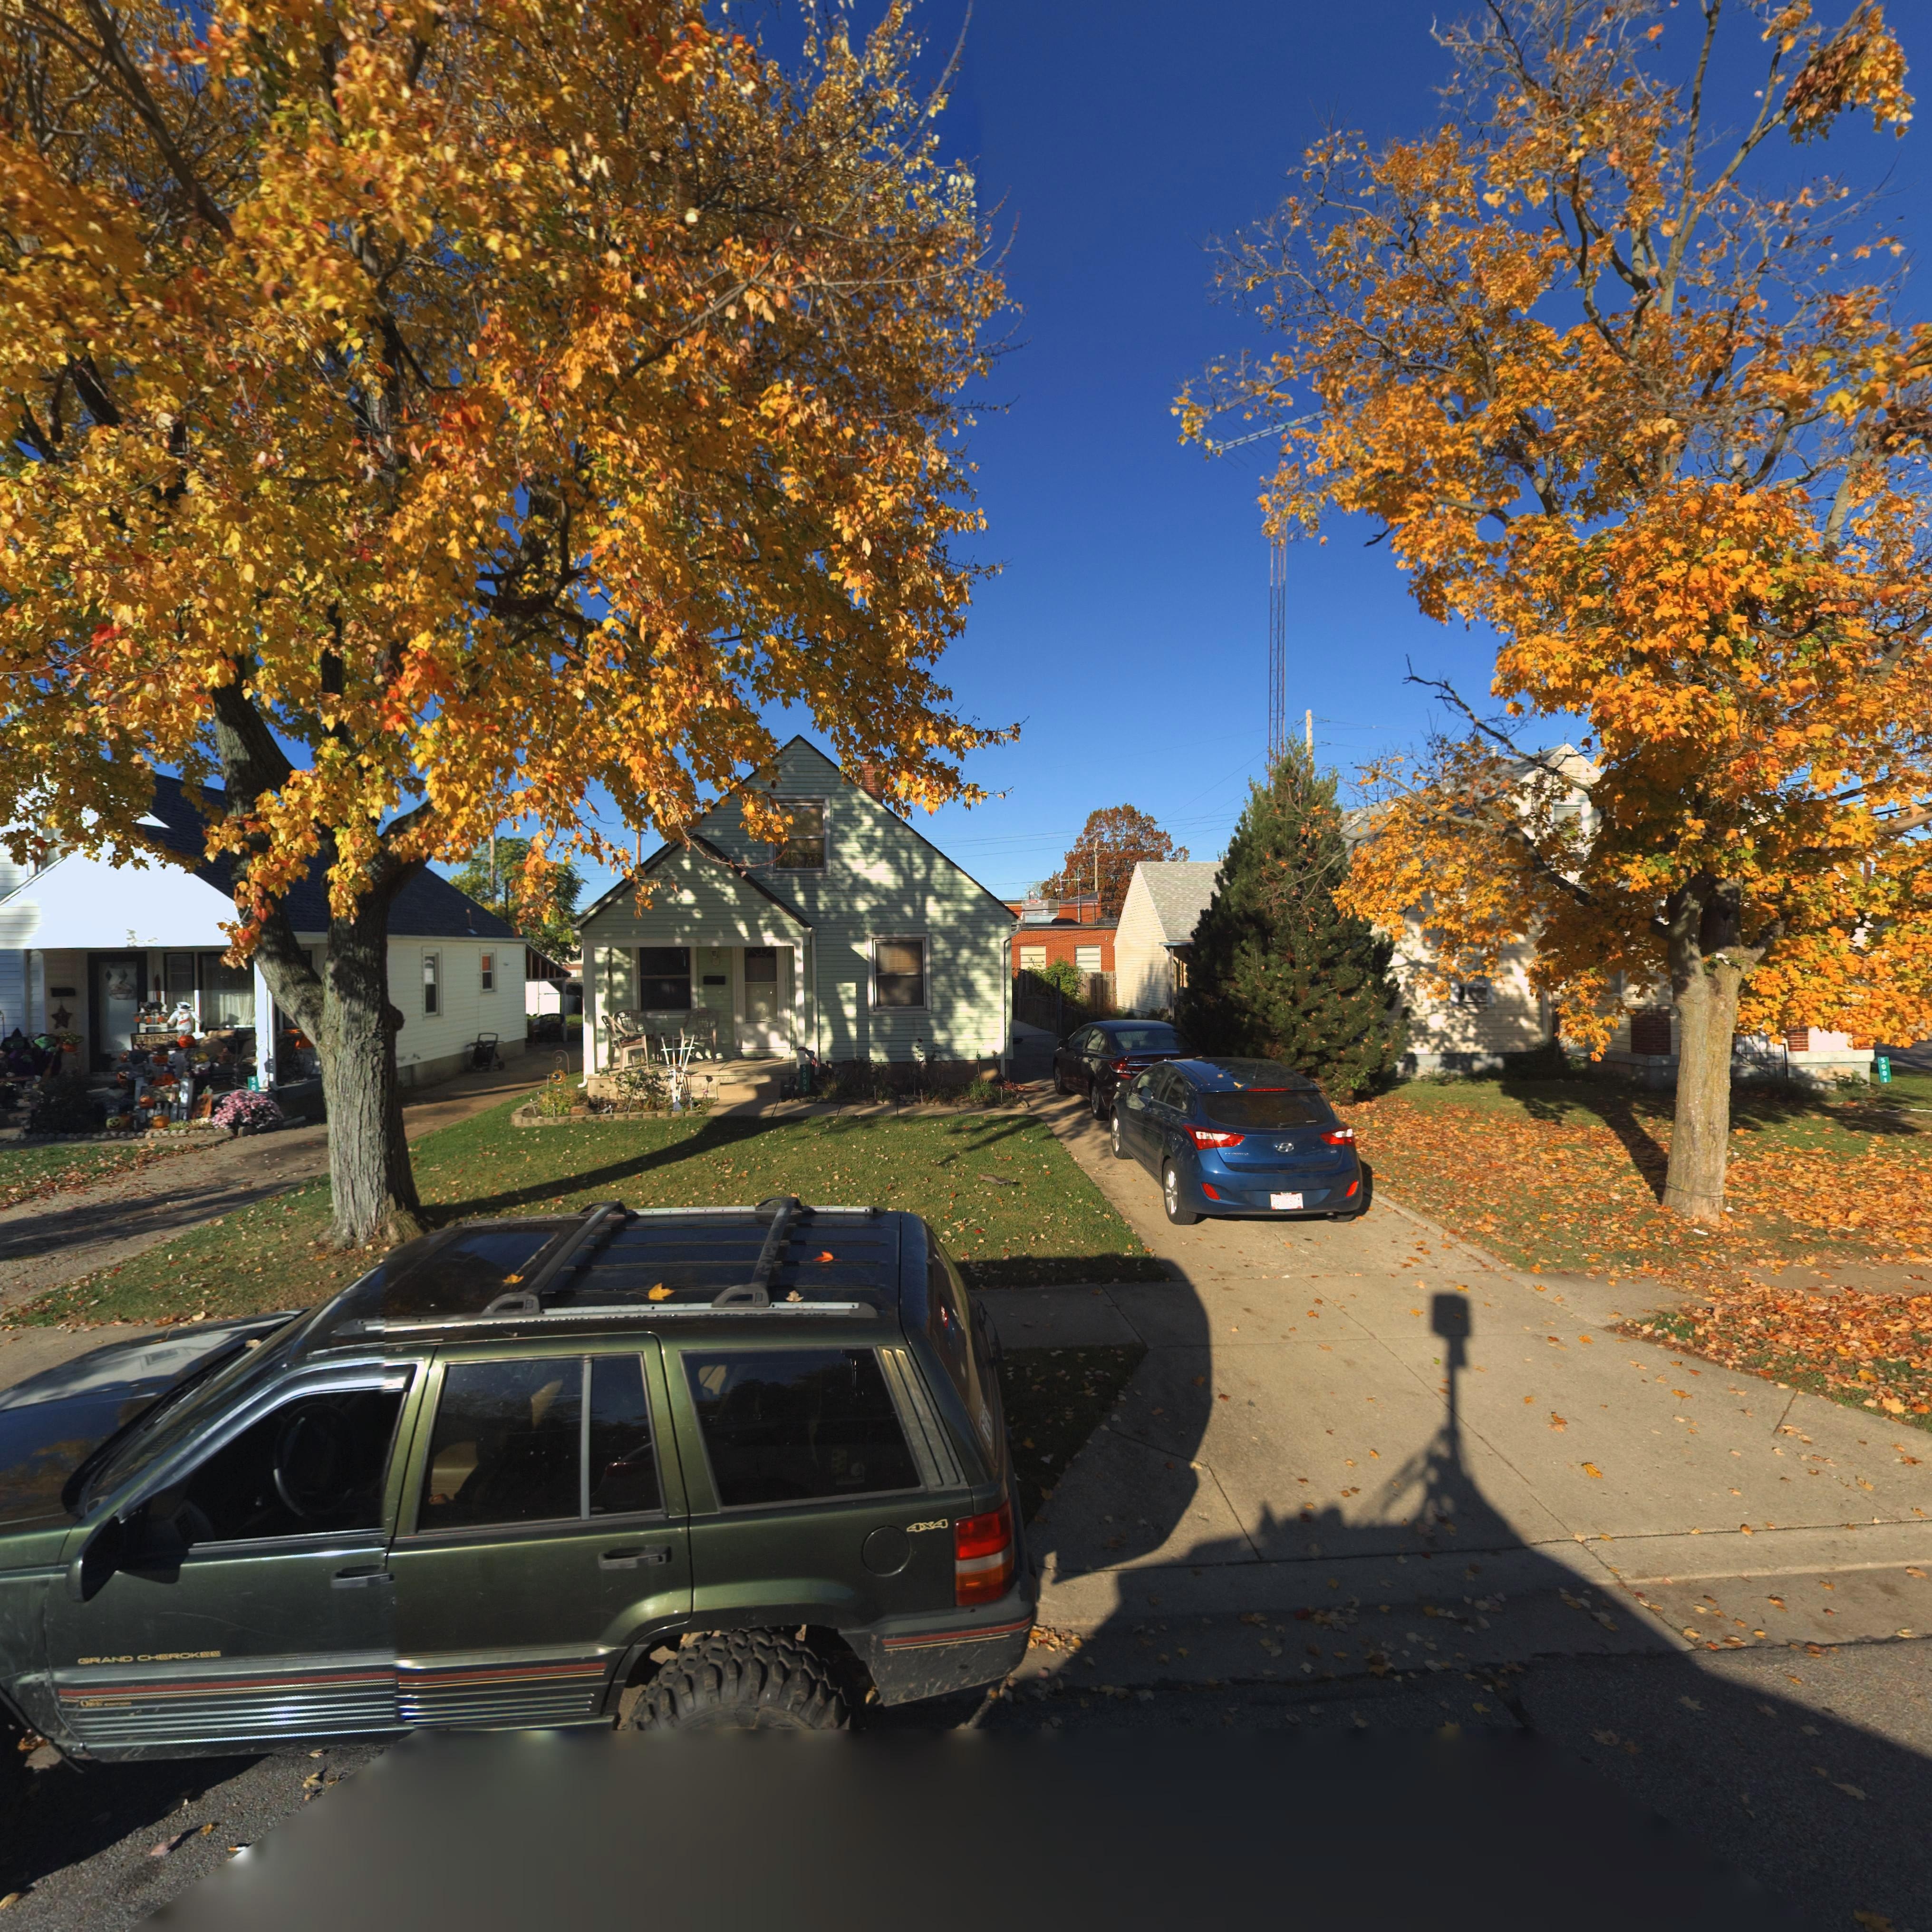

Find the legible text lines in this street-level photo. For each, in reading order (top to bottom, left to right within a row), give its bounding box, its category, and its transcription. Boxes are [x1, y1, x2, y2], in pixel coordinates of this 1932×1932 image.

[251, 1077, 256, 1091] StreetNumber: 50
[802, 1065, 807, 1092] StreetNumber: 5005
[1880, 1057, 1889, 1083] StreetNumber: 5001